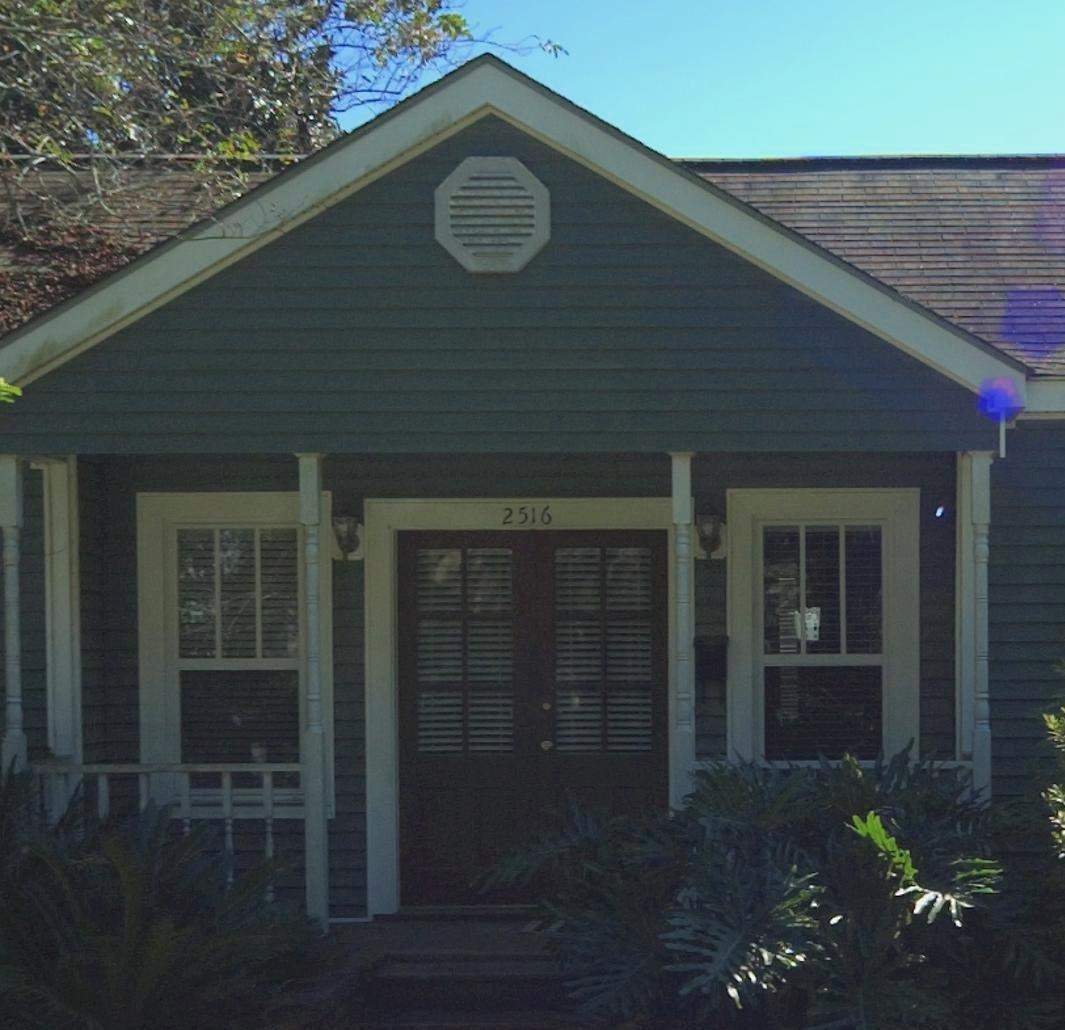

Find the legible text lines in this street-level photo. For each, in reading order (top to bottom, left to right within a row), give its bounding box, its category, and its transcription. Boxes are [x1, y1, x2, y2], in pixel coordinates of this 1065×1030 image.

[500, 505, 553, 526] StreetNumber: 2516